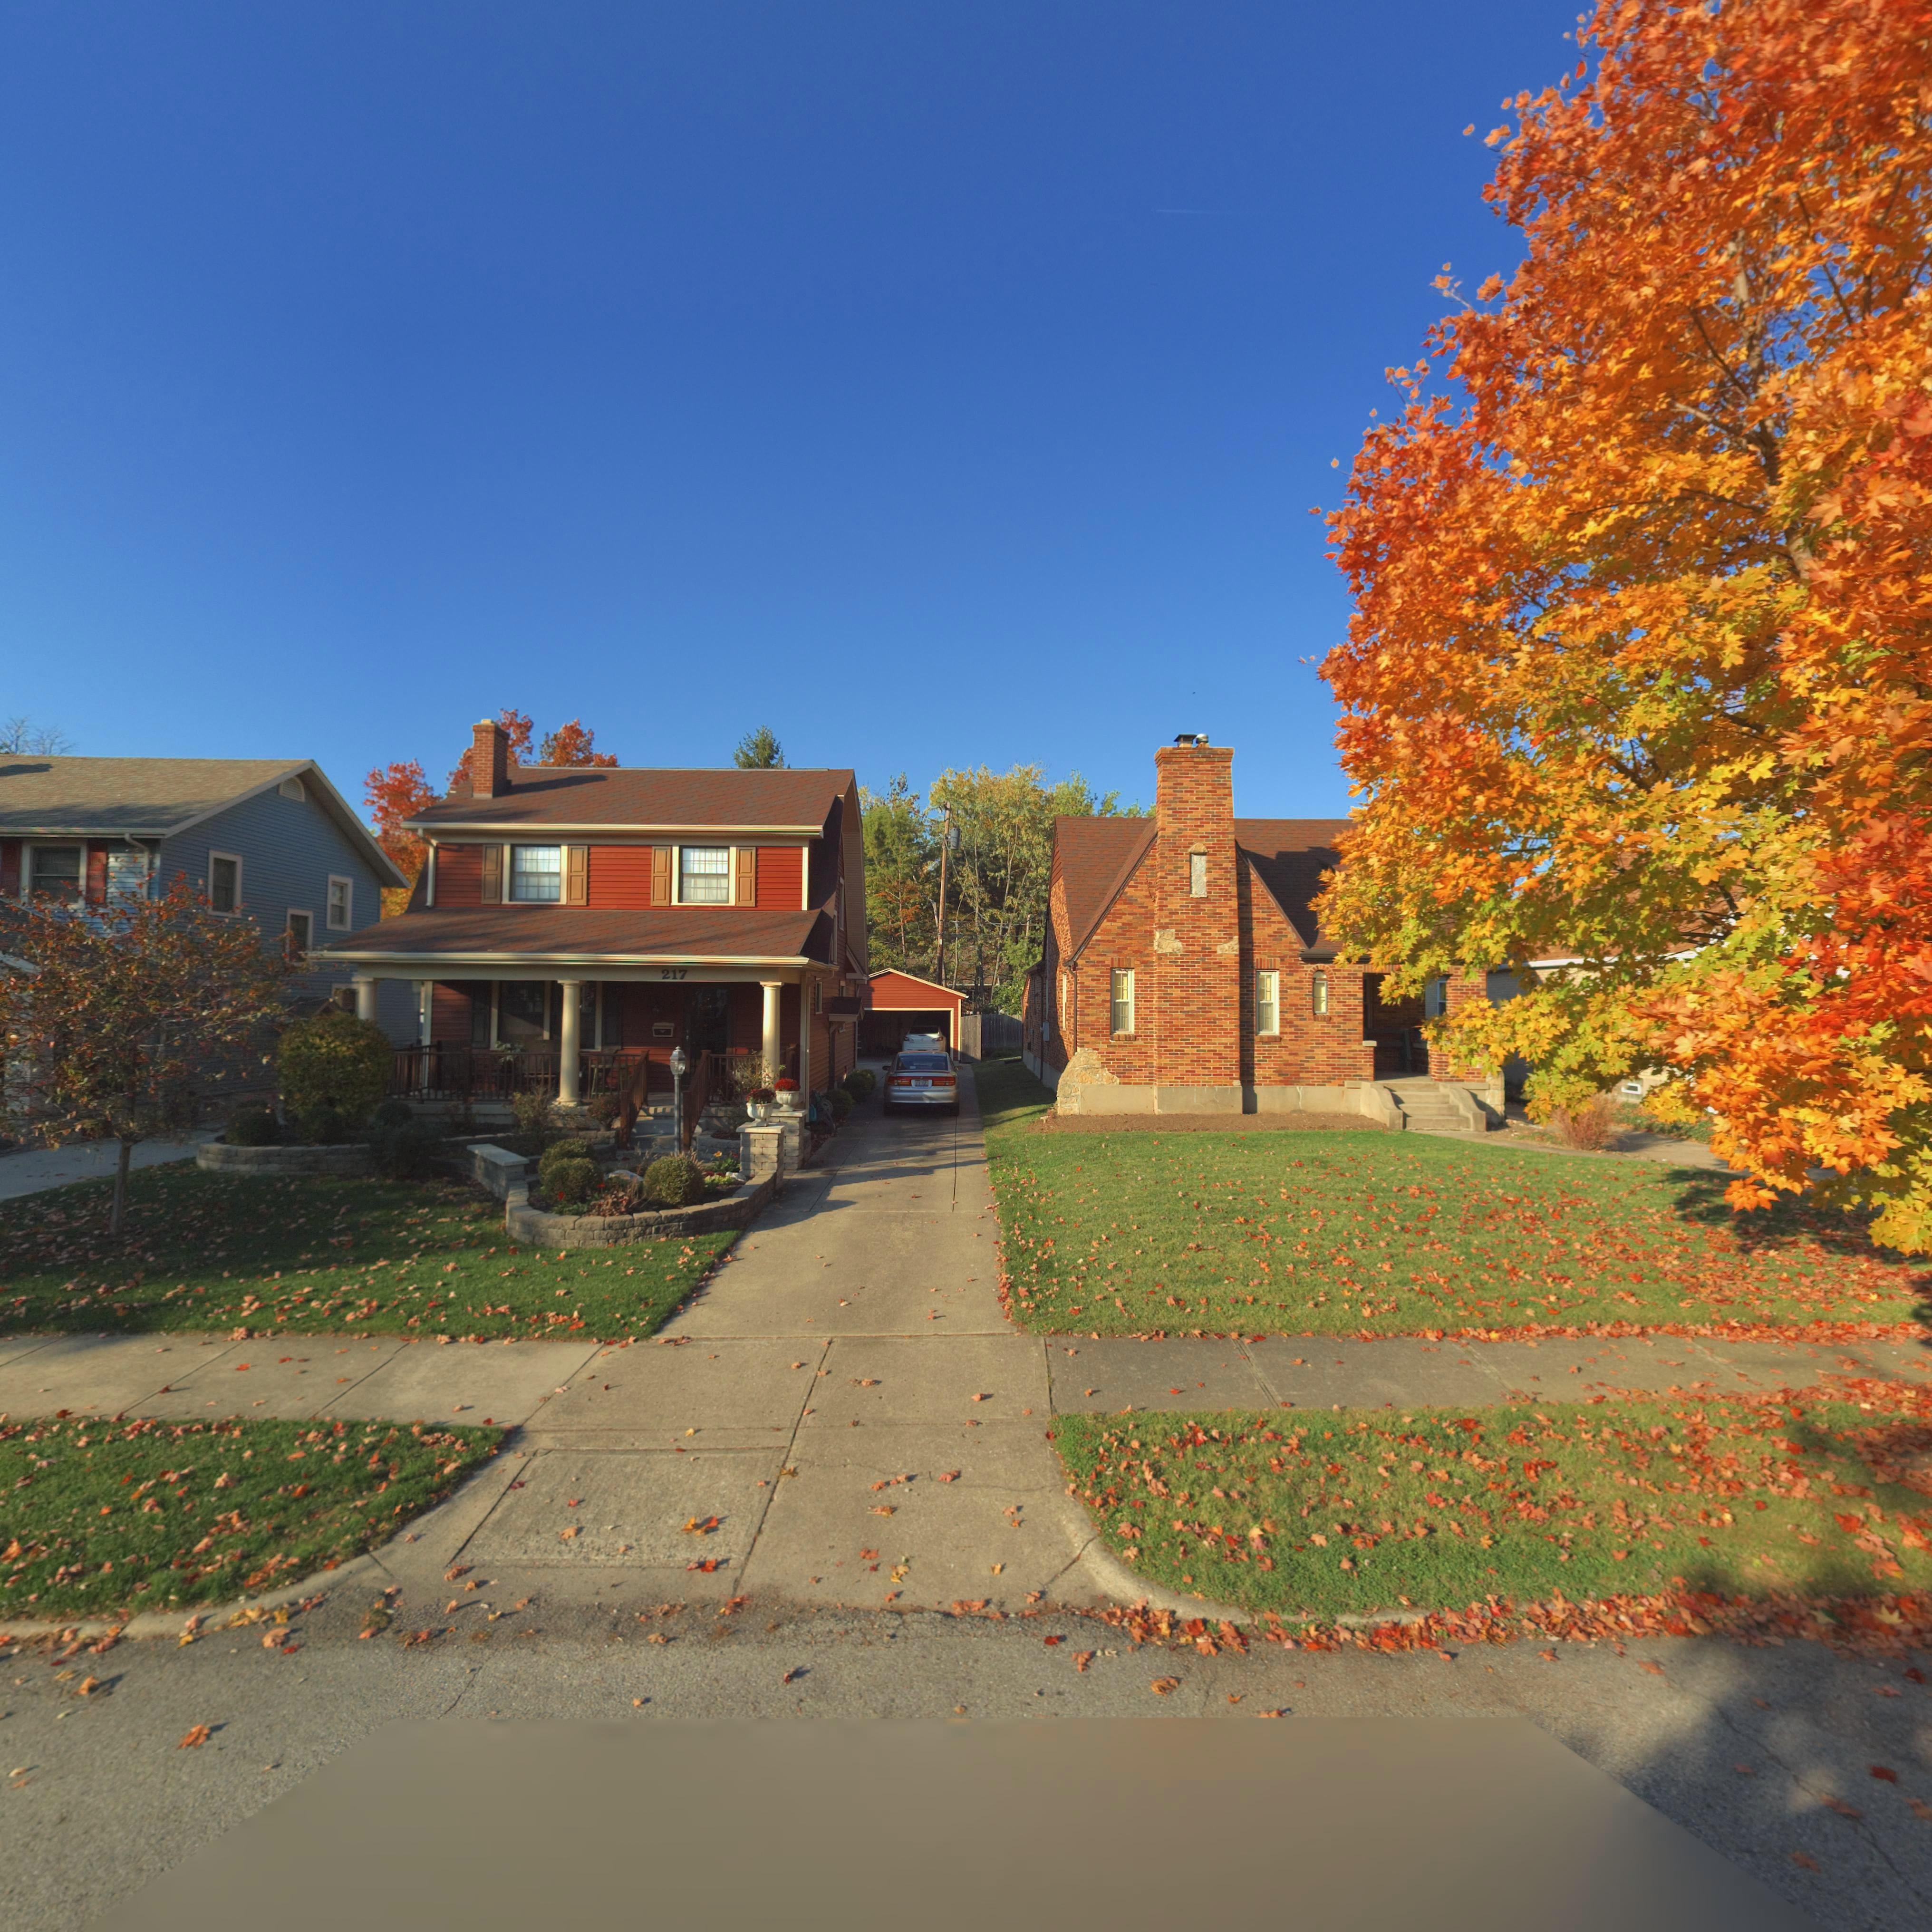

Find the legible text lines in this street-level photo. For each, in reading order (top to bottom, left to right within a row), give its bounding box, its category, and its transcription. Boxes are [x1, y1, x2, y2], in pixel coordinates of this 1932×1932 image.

[661, 968, 689, 980] StreetNumber: 217